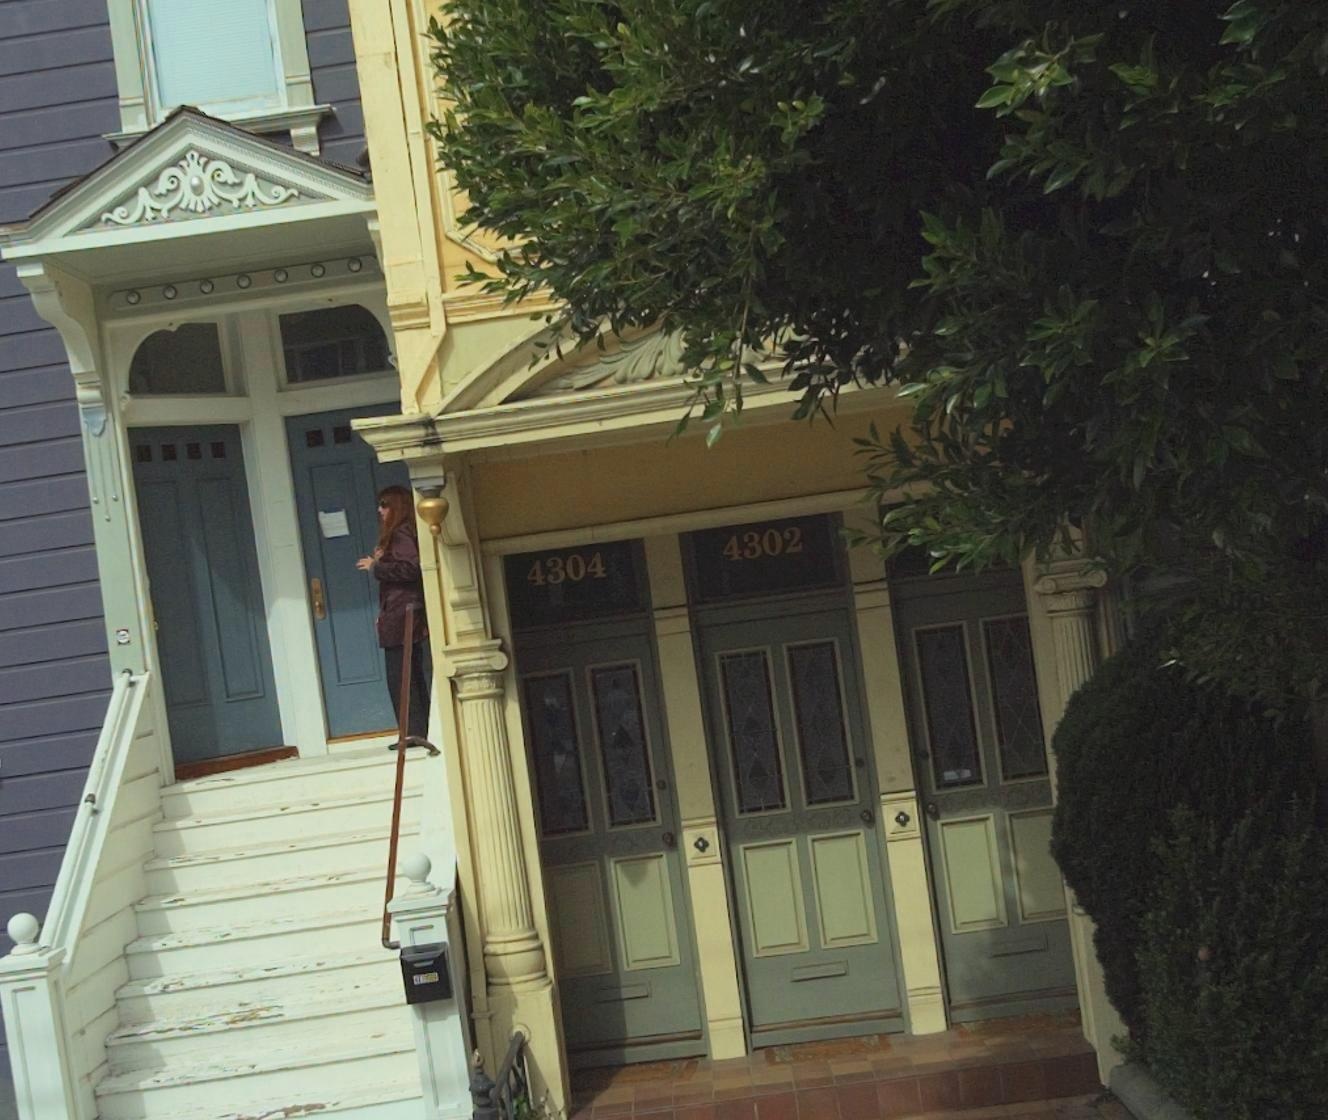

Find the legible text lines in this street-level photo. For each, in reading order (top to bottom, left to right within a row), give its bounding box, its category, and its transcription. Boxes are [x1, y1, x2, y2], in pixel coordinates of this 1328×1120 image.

[721, 523, 804, 564] StreetNumber: 4302
[525, 549, 610, 589] StreetNumber: 304